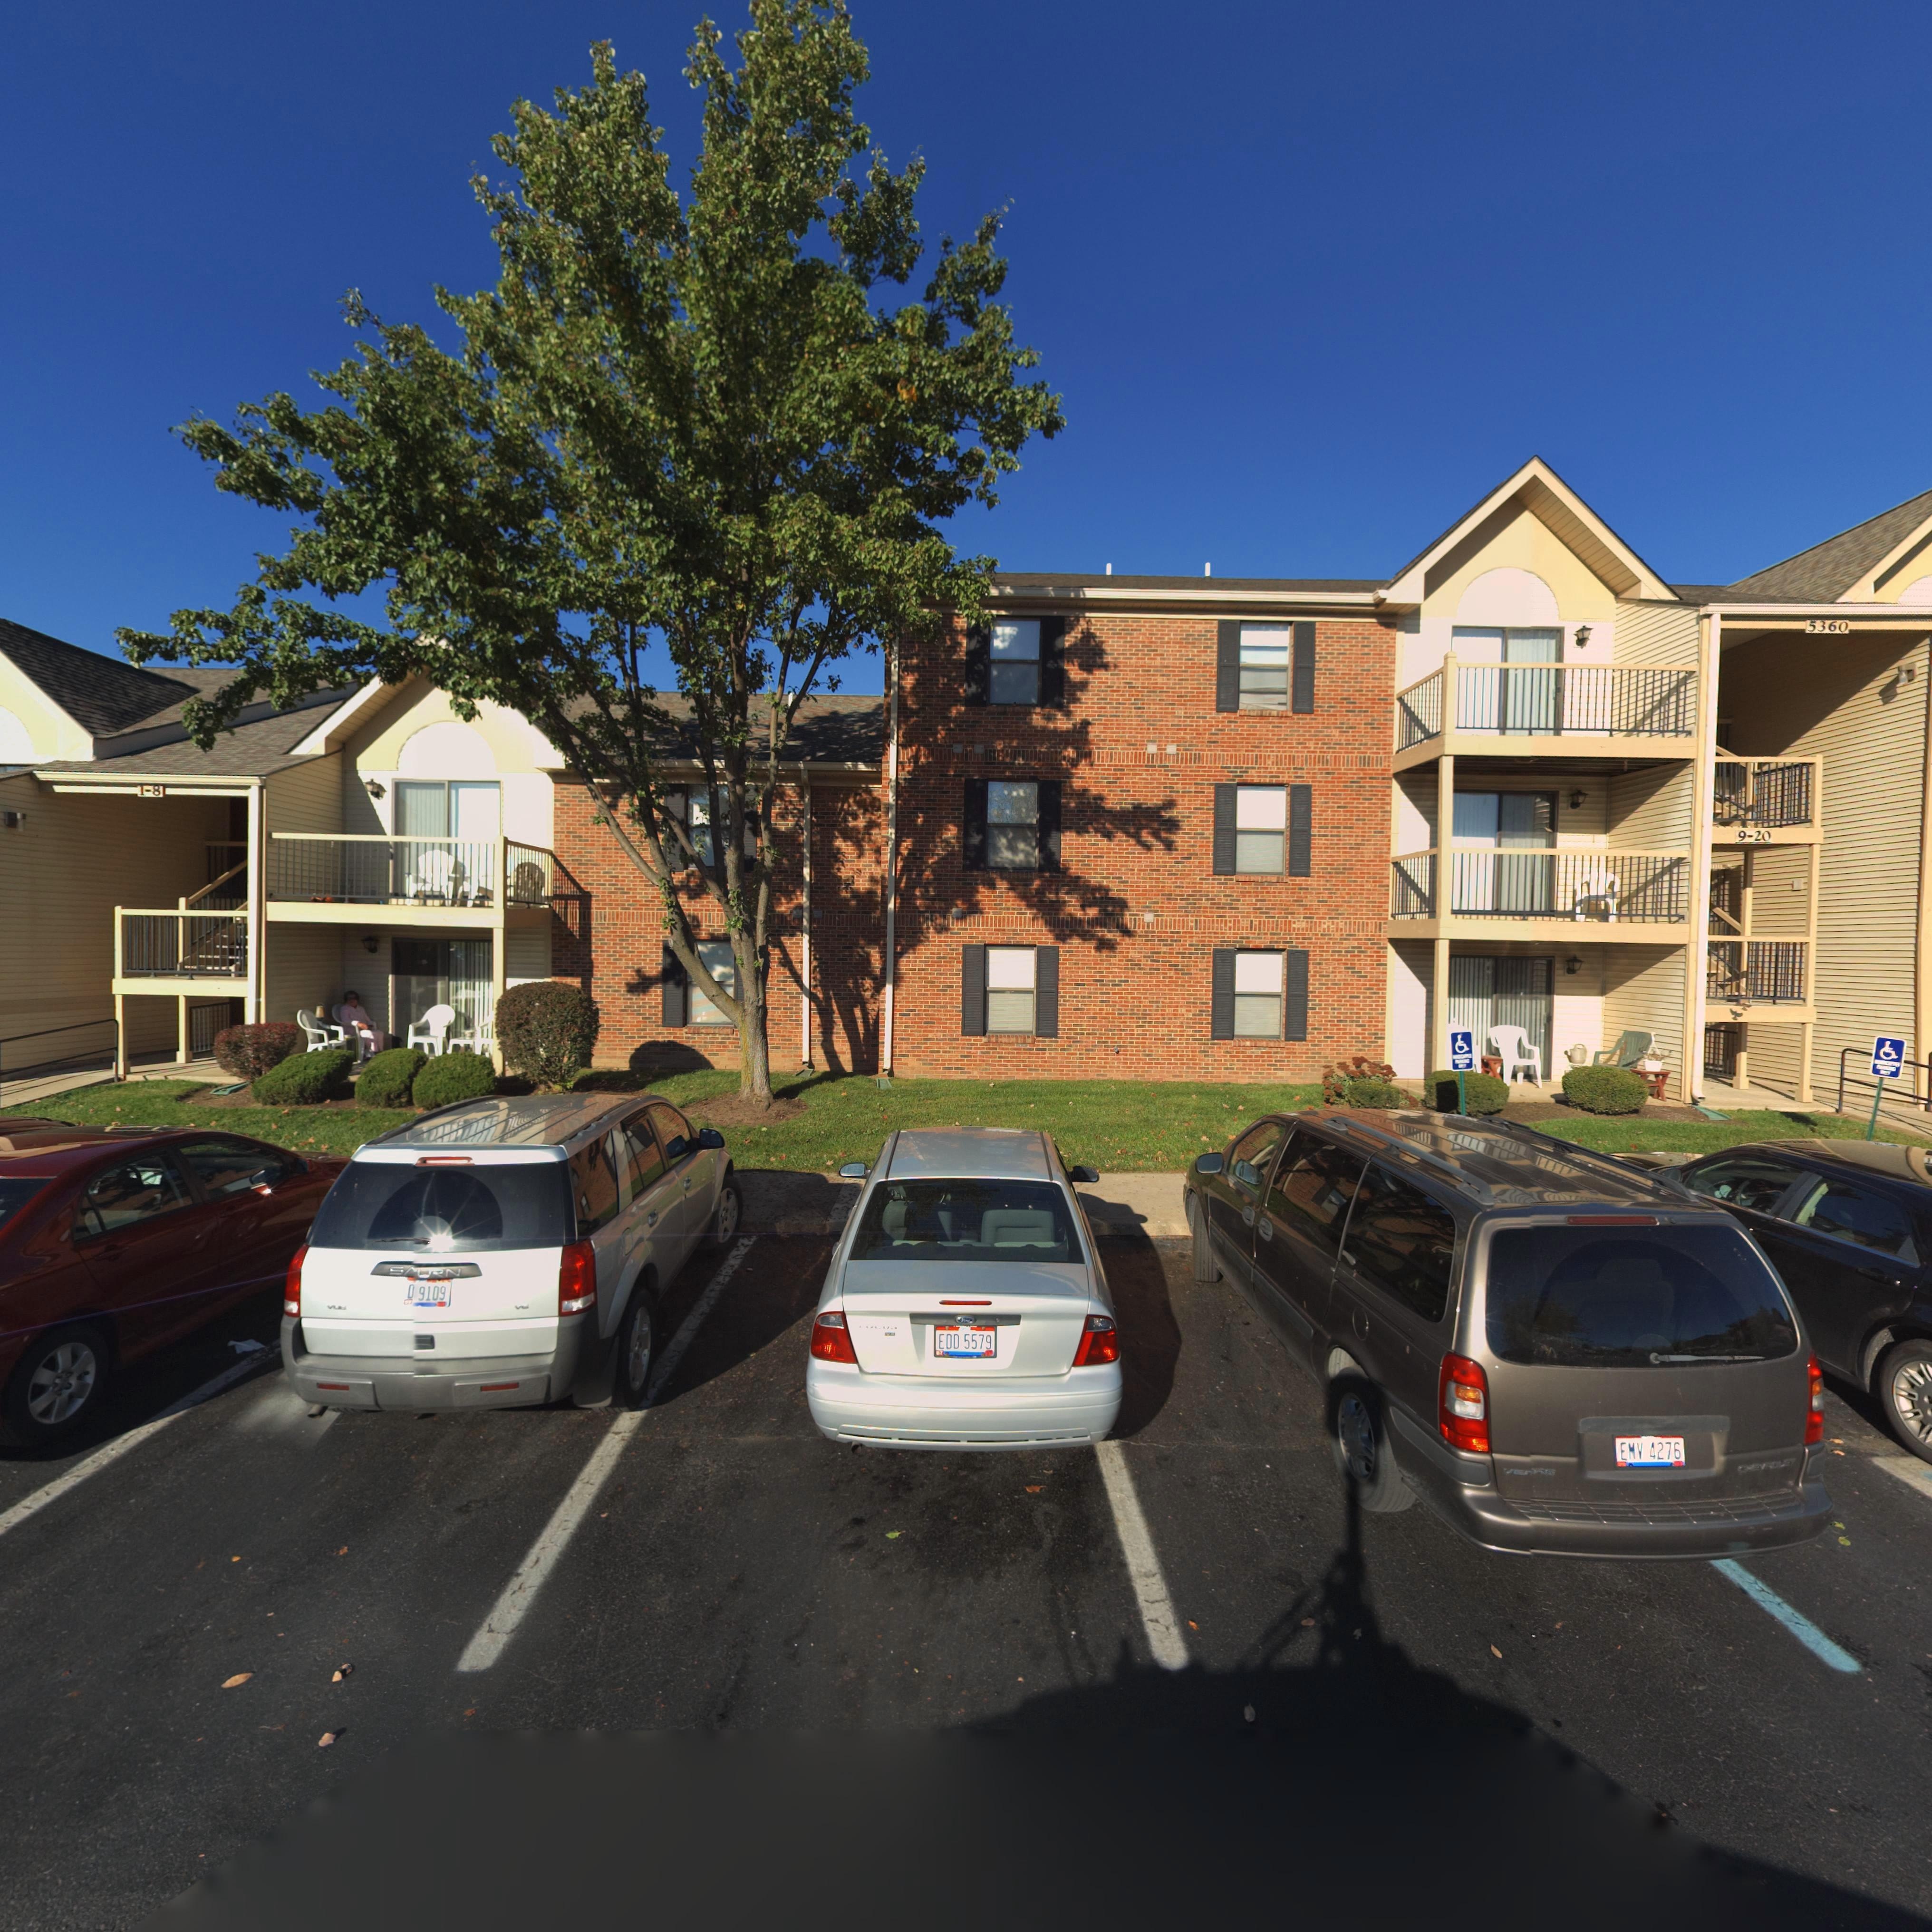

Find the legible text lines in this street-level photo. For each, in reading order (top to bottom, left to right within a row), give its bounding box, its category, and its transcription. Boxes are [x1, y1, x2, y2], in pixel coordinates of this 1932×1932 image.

[1806, 619, 1849, 634] StreetNumber: 5360
[139, 784, 162, 797] StreetNumber: 1-8
[1737, 829, 1772, 843] StreetNumber: 9-20